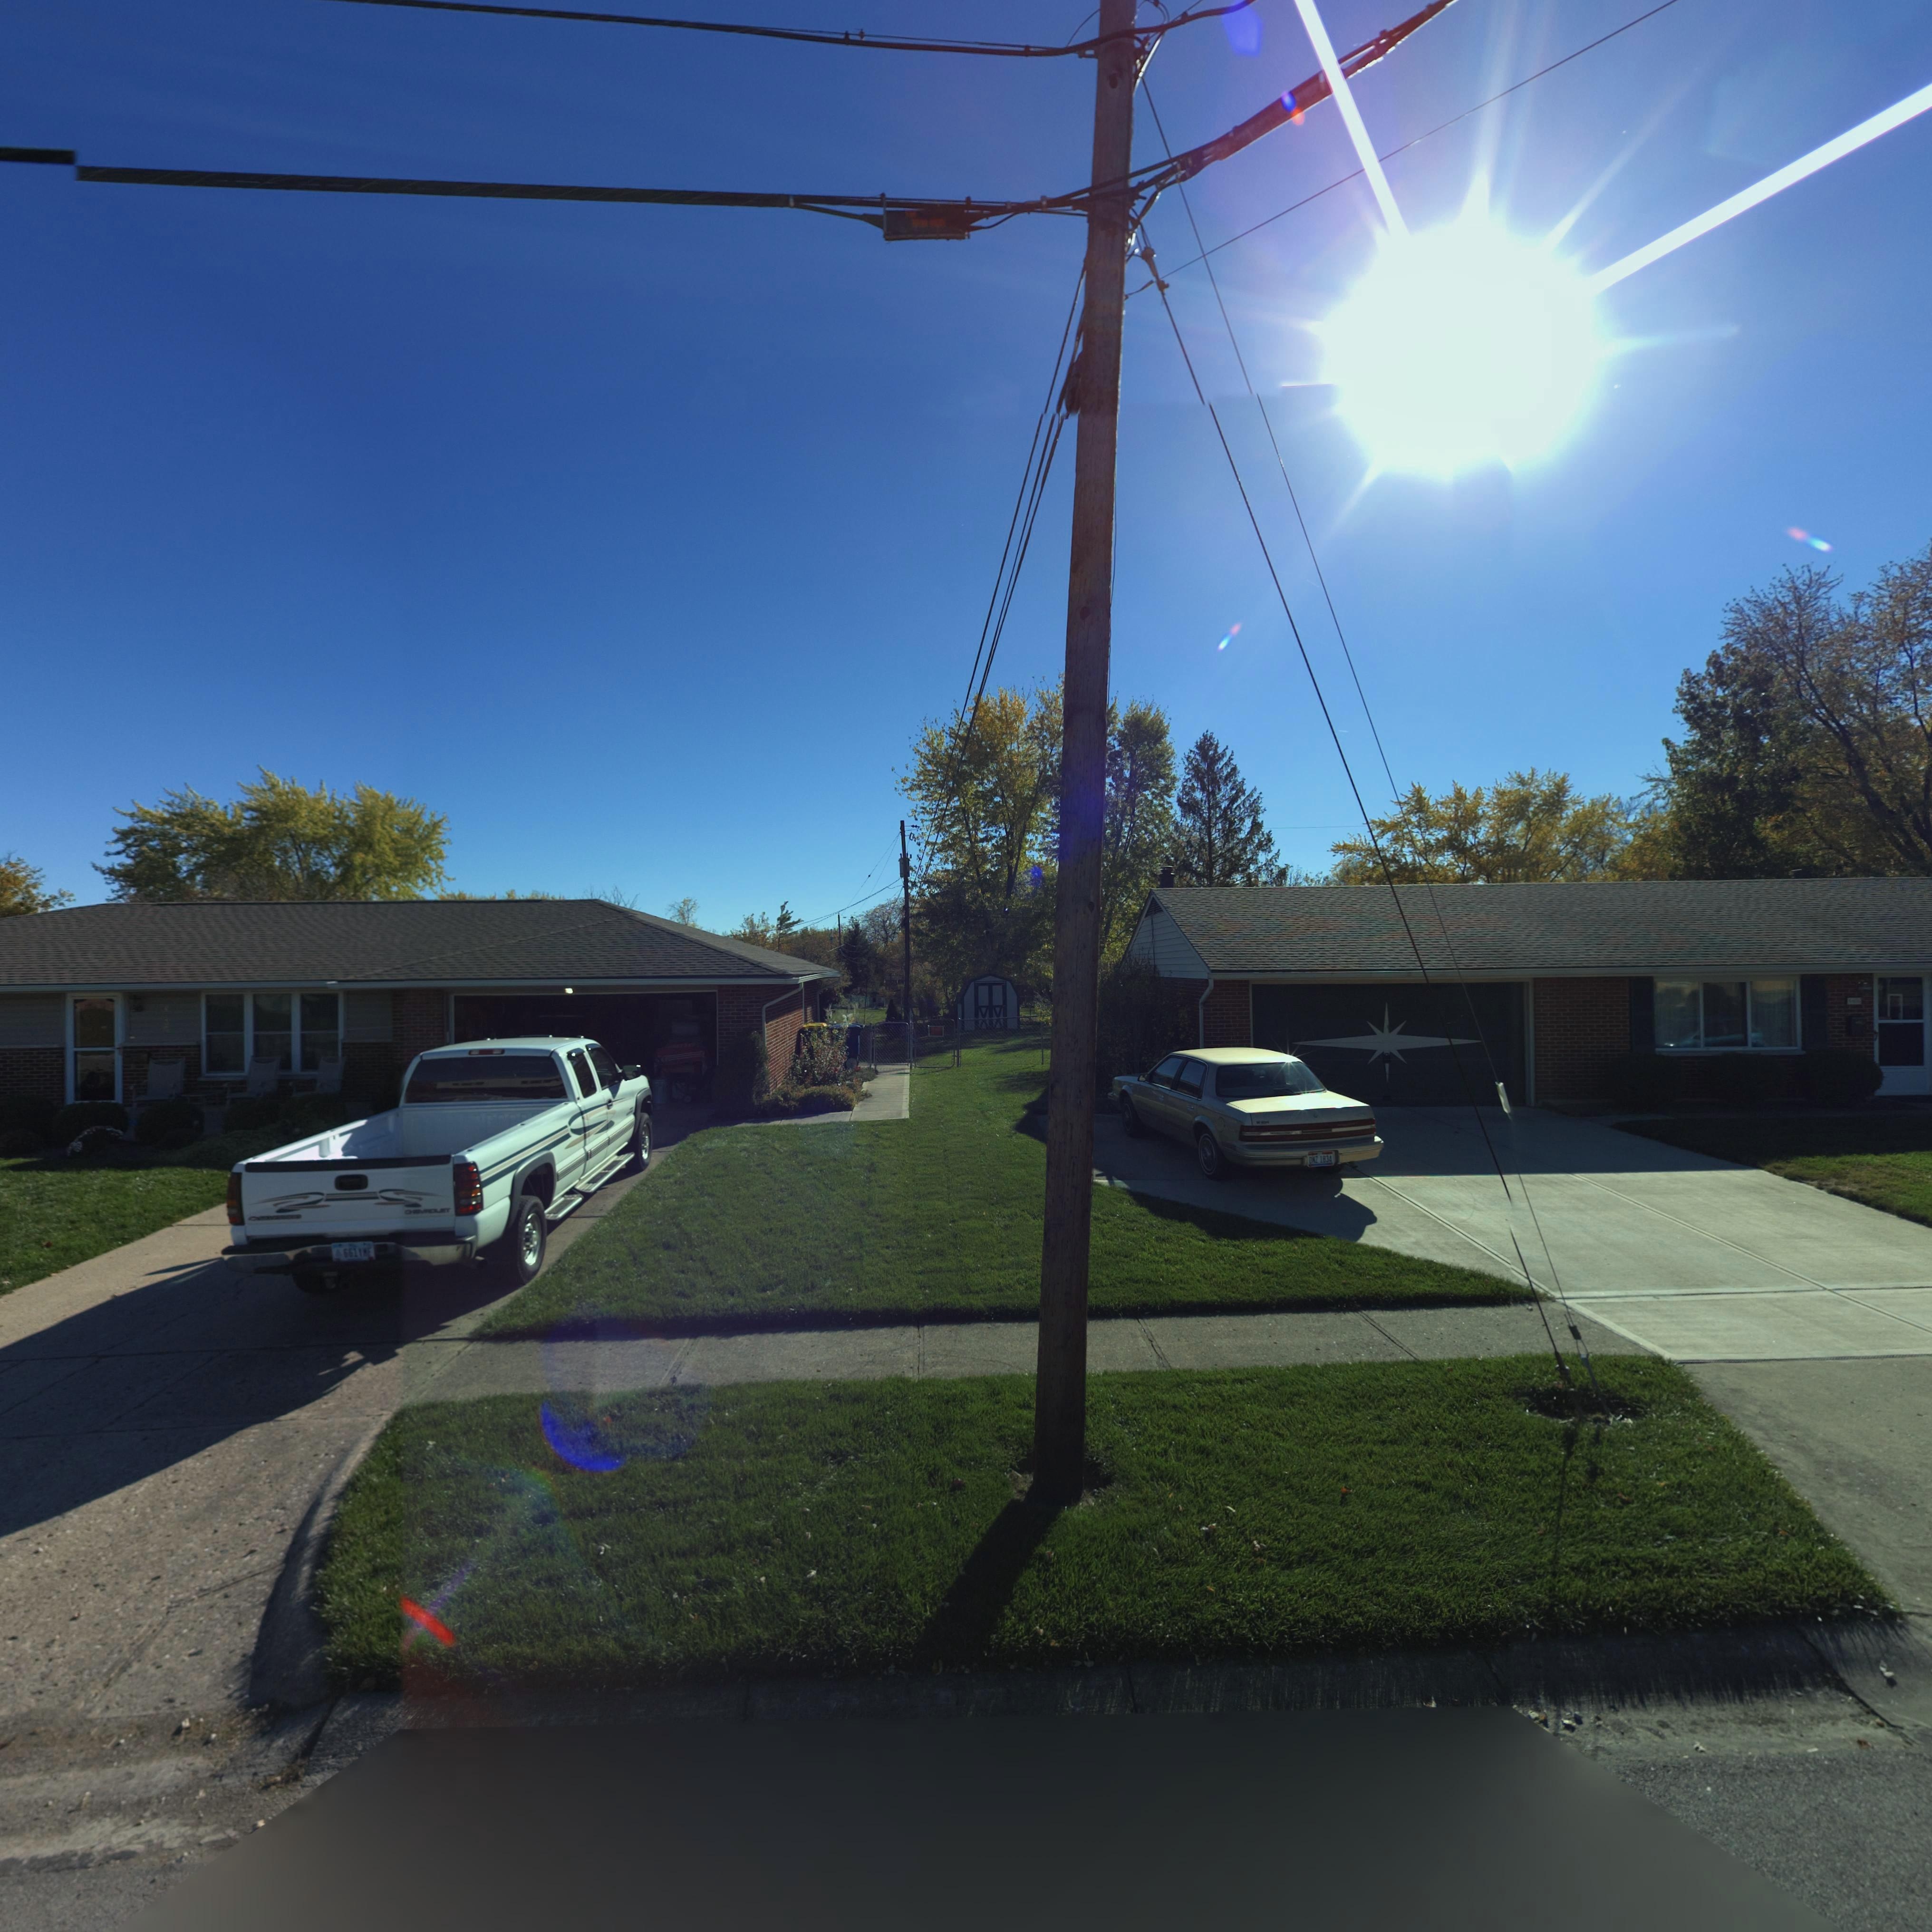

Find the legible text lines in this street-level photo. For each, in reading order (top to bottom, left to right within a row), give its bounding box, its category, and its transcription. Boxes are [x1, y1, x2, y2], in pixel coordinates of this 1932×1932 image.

[1847, 997, 1861, 1004] StreetNumber: 44*6
[163, 1005, 171, 1035] StreetNumber: **0*